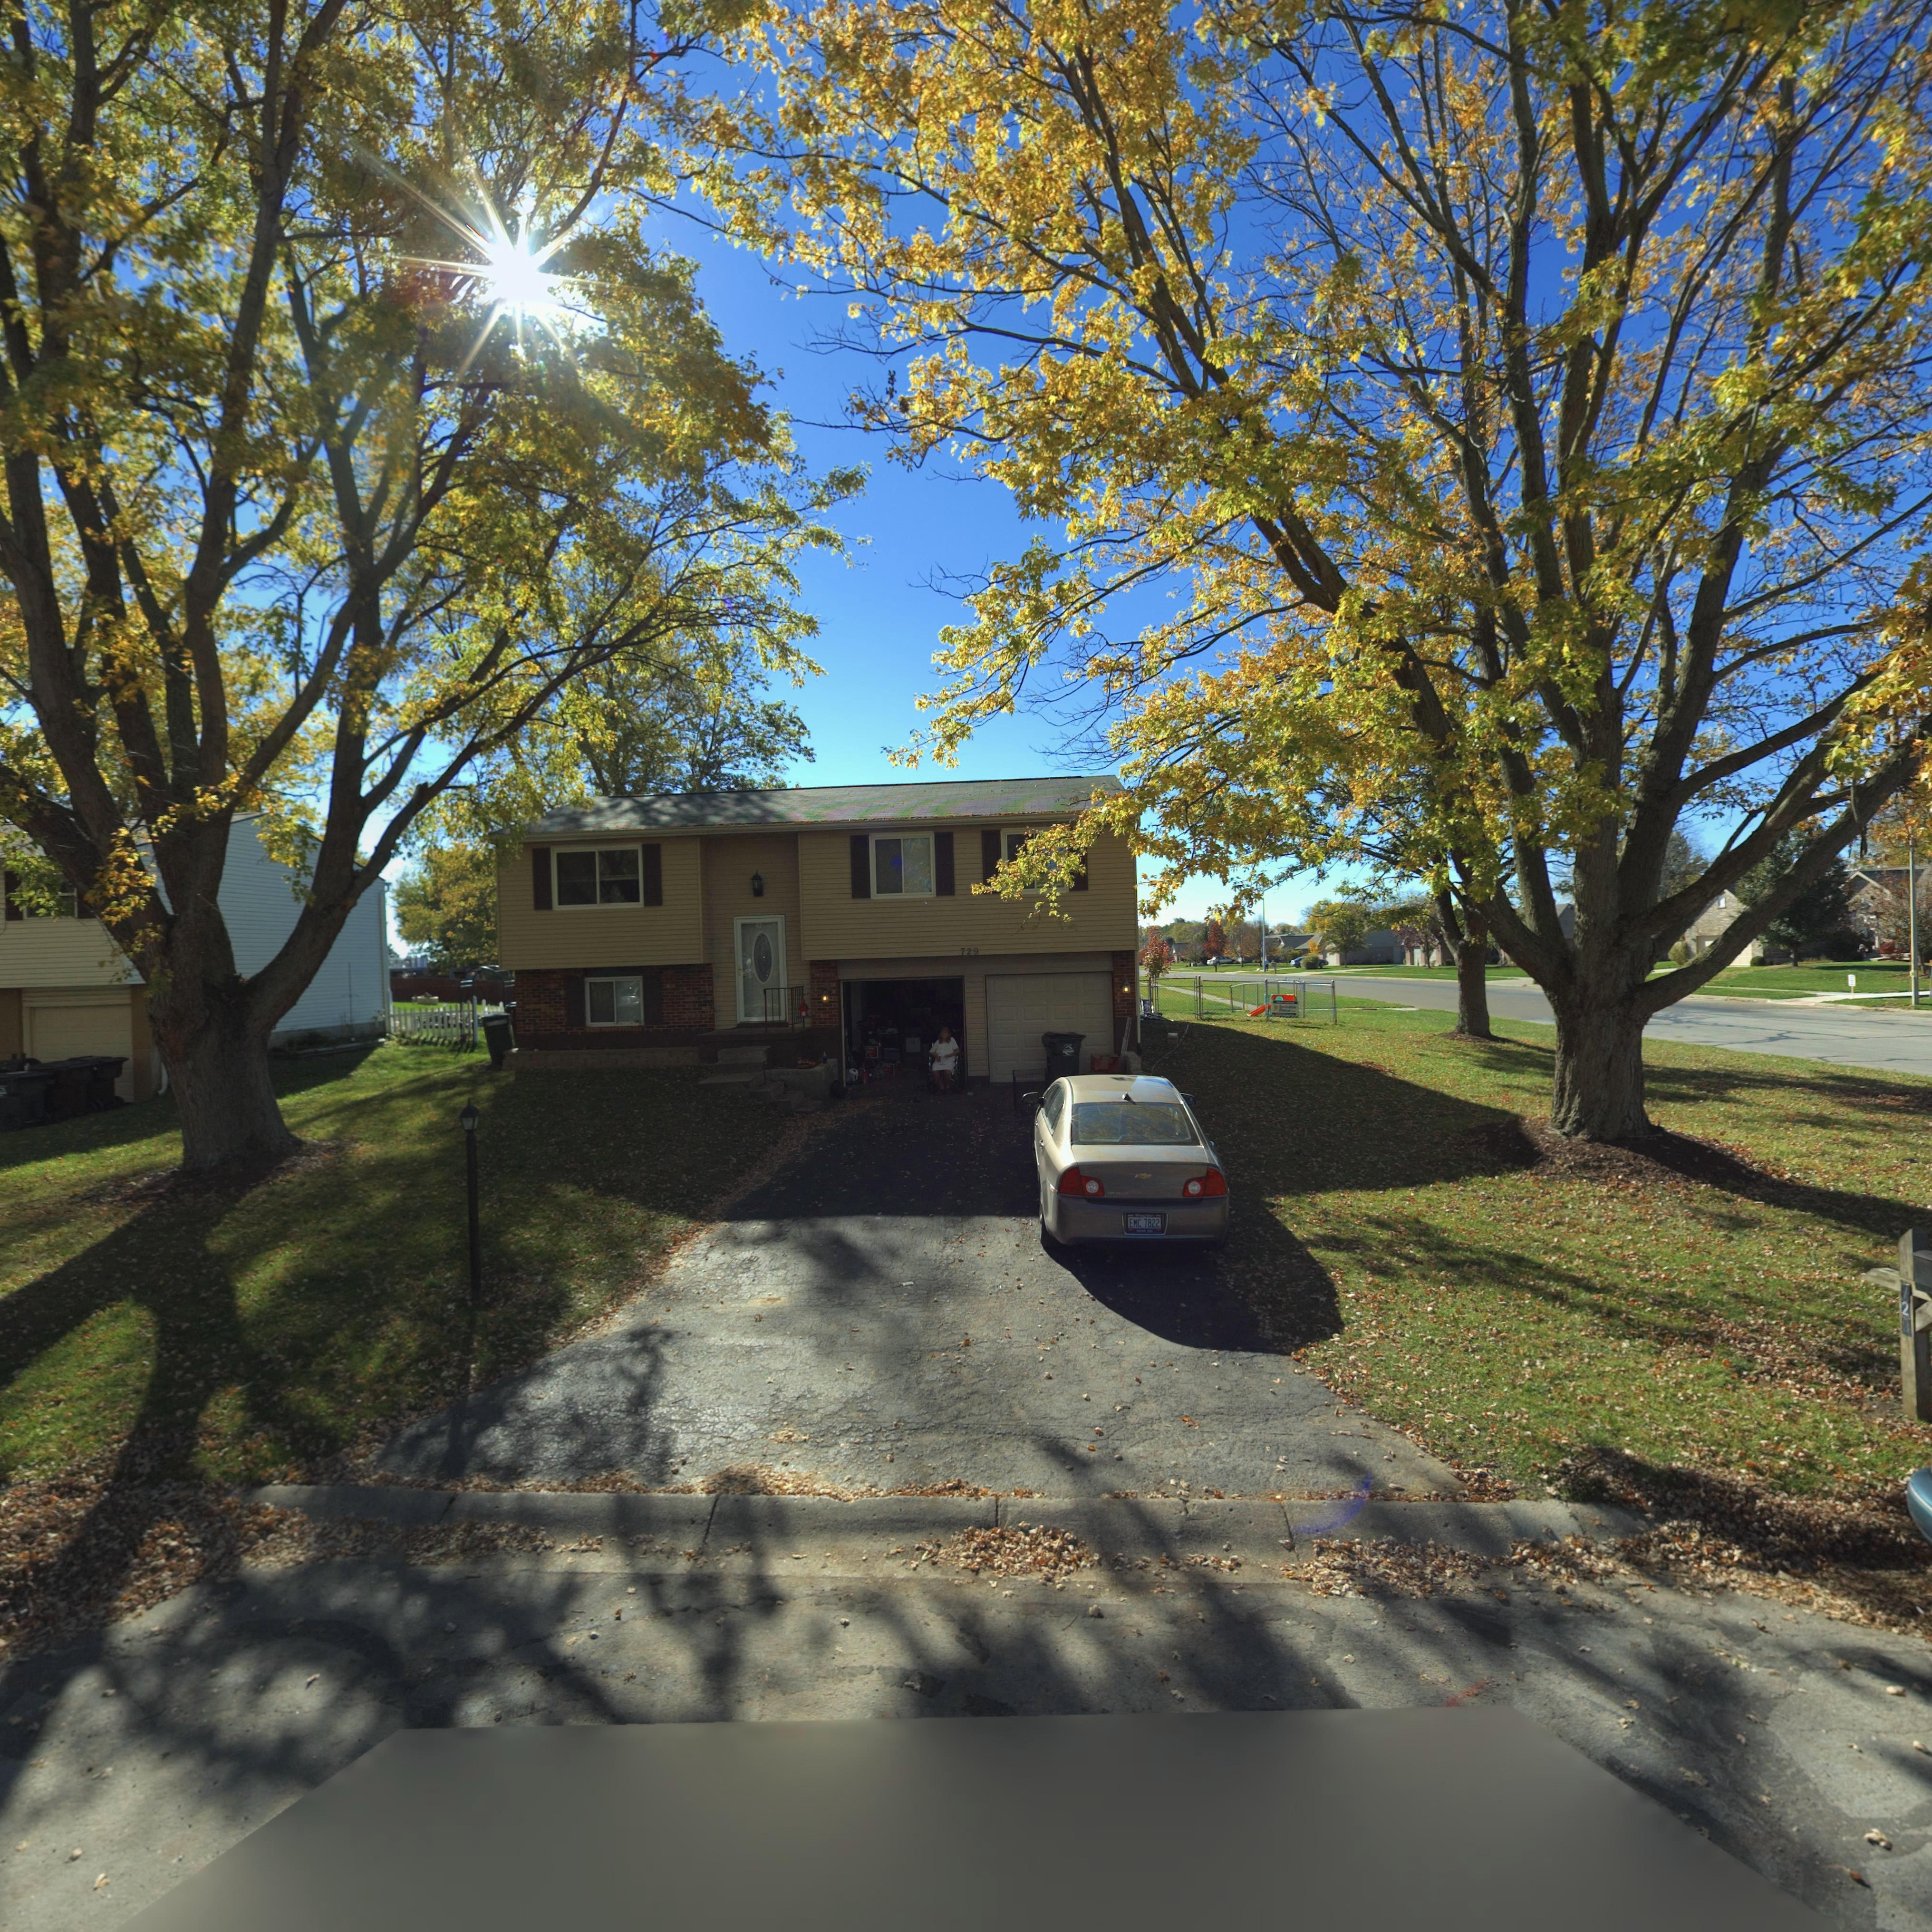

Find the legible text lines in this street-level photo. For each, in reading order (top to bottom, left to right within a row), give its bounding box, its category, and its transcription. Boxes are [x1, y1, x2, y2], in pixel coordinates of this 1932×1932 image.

[959, 947, 980, 956] StreetNumber: 729
[1128, 1216, 1161, 1229] None: EMC 7822
[1901, 1281, 1911, 1334] StreetNumber: 729